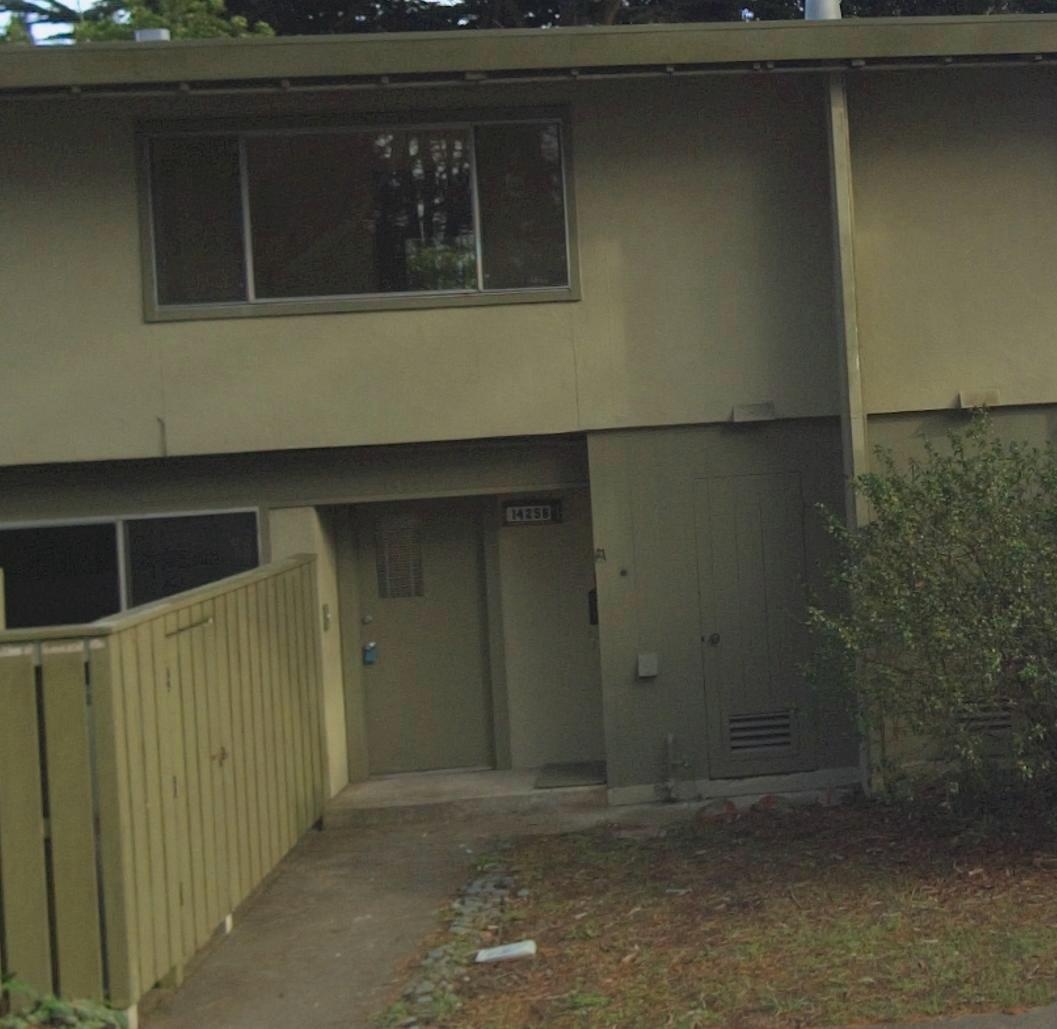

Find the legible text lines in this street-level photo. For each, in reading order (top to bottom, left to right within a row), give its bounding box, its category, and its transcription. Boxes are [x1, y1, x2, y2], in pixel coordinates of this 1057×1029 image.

[509, 506, 550, 521] StreetNumber: 1425B